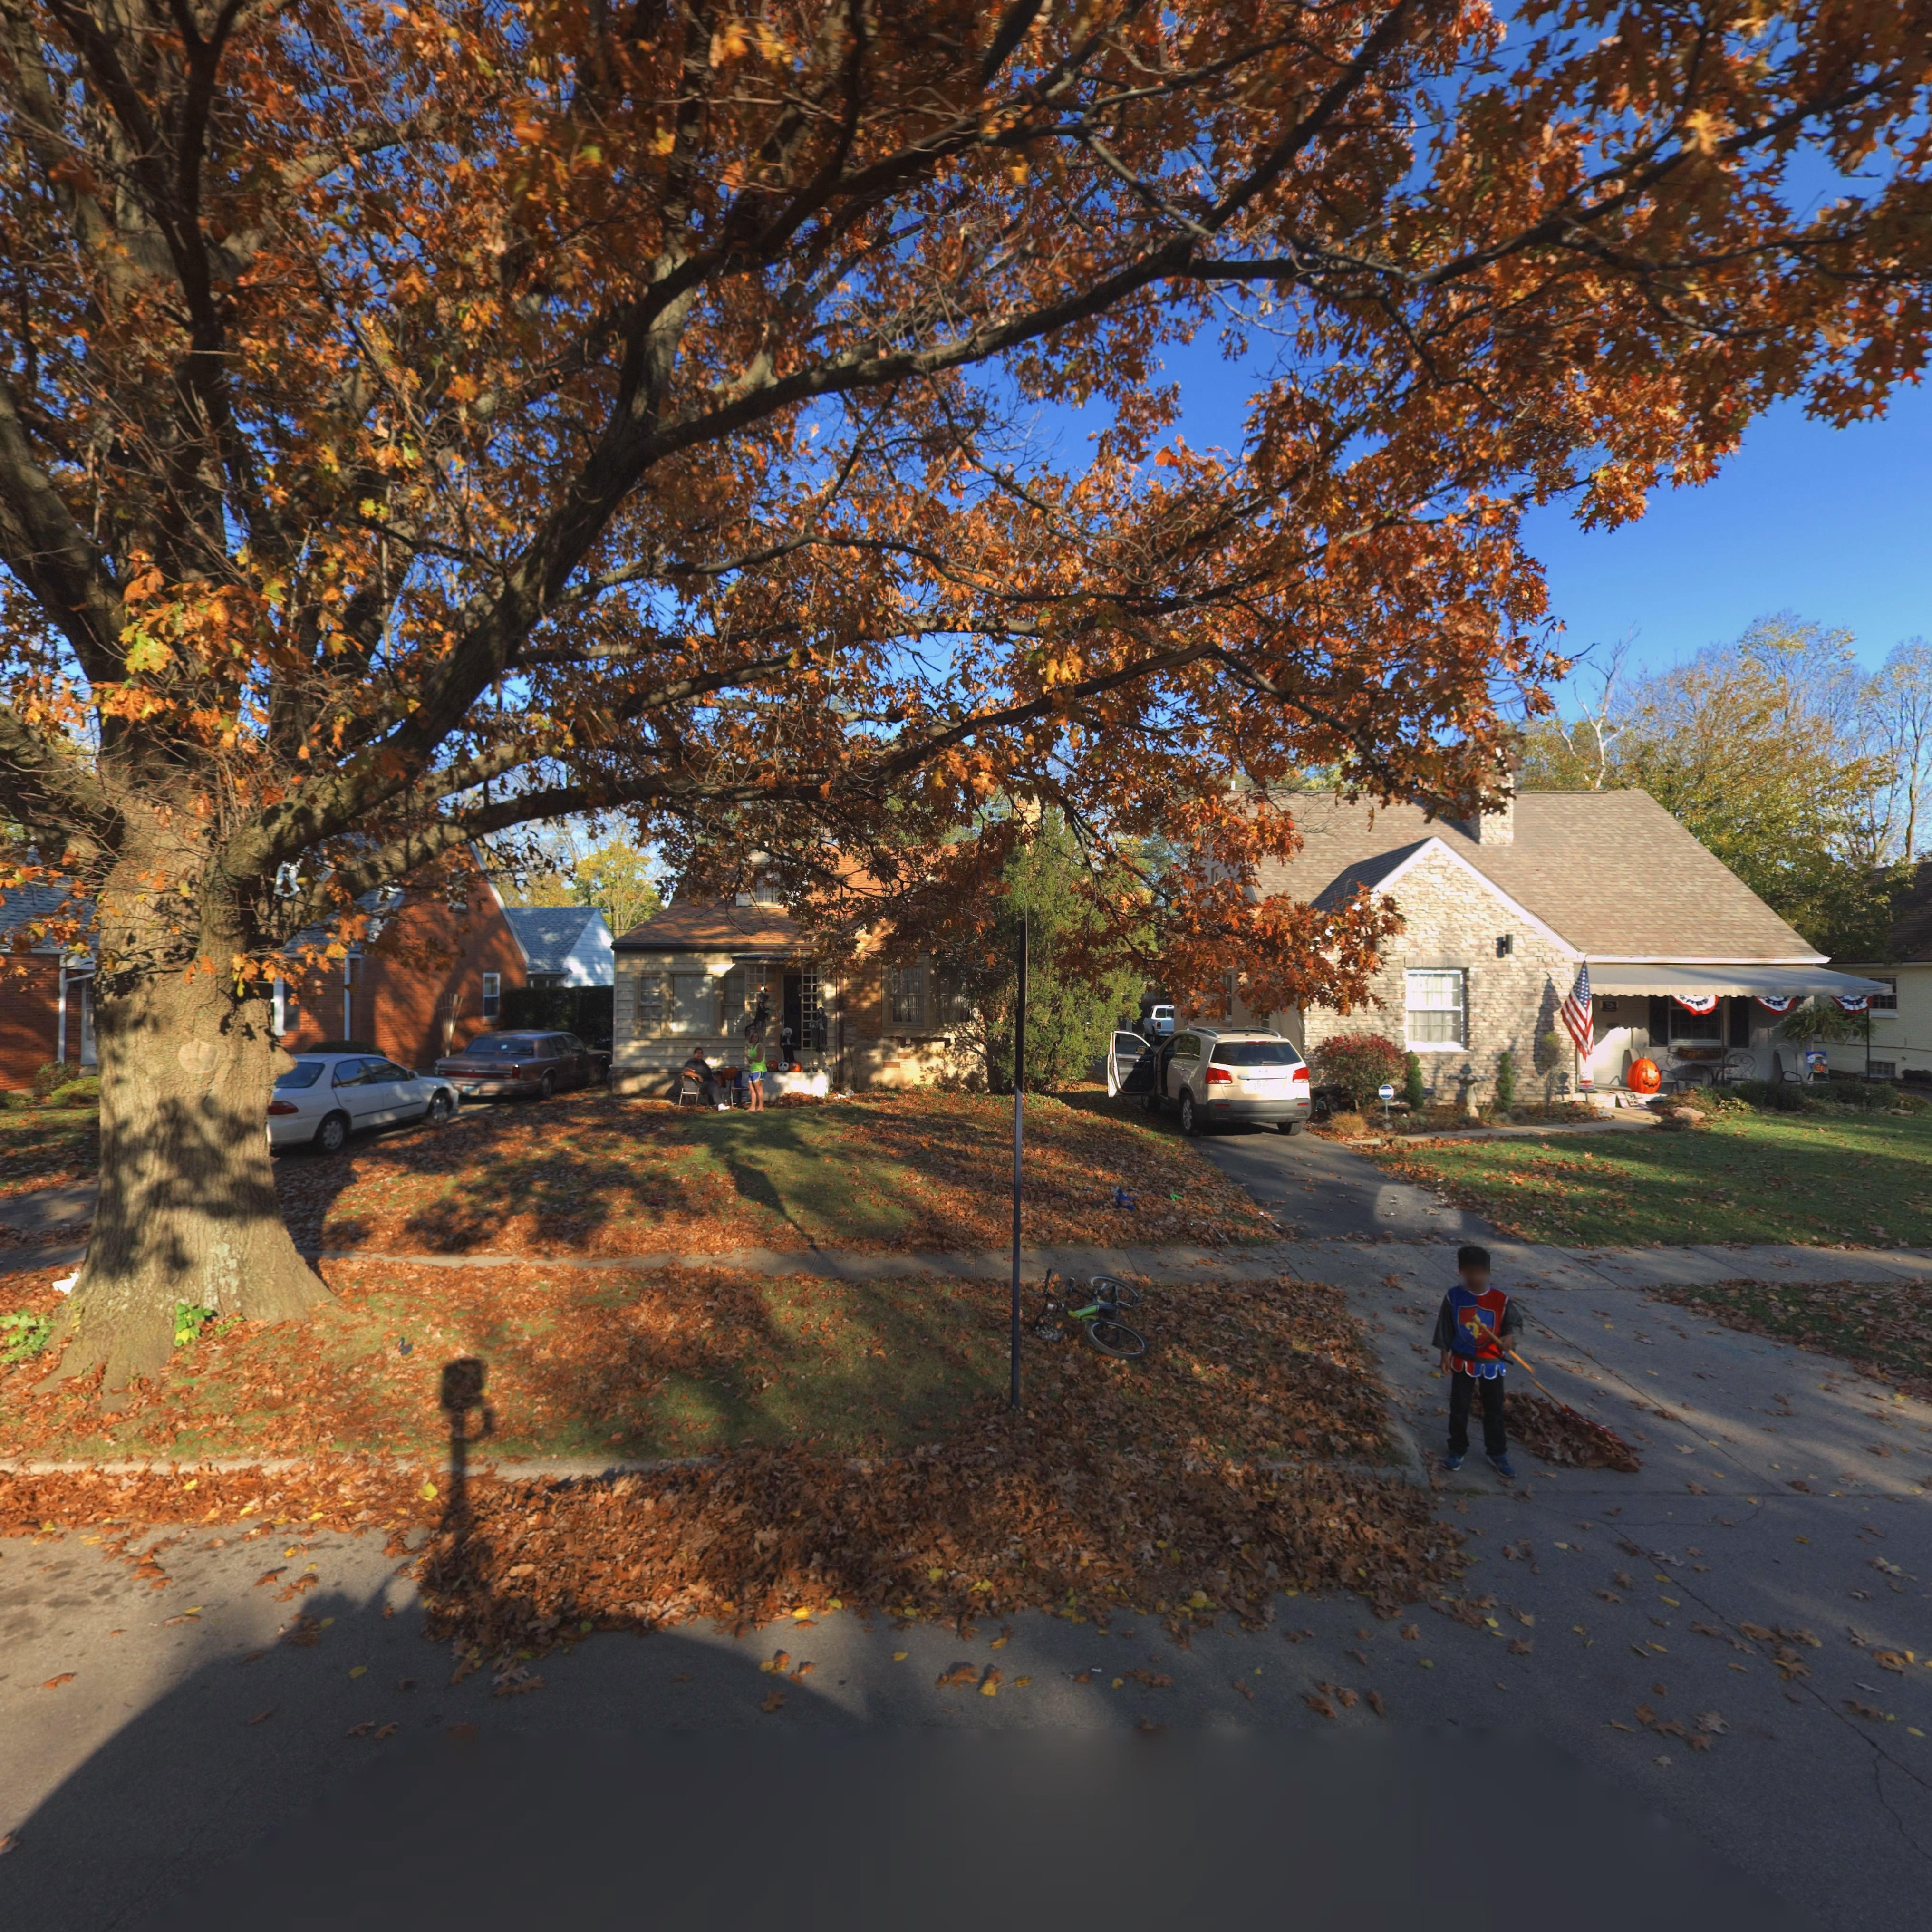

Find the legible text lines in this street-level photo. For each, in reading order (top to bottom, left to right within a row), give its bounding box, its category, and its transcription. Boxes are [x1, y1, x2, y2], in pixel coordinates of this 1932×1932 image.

[1605, 1002, 1614, 1008] StreetNumber: 726